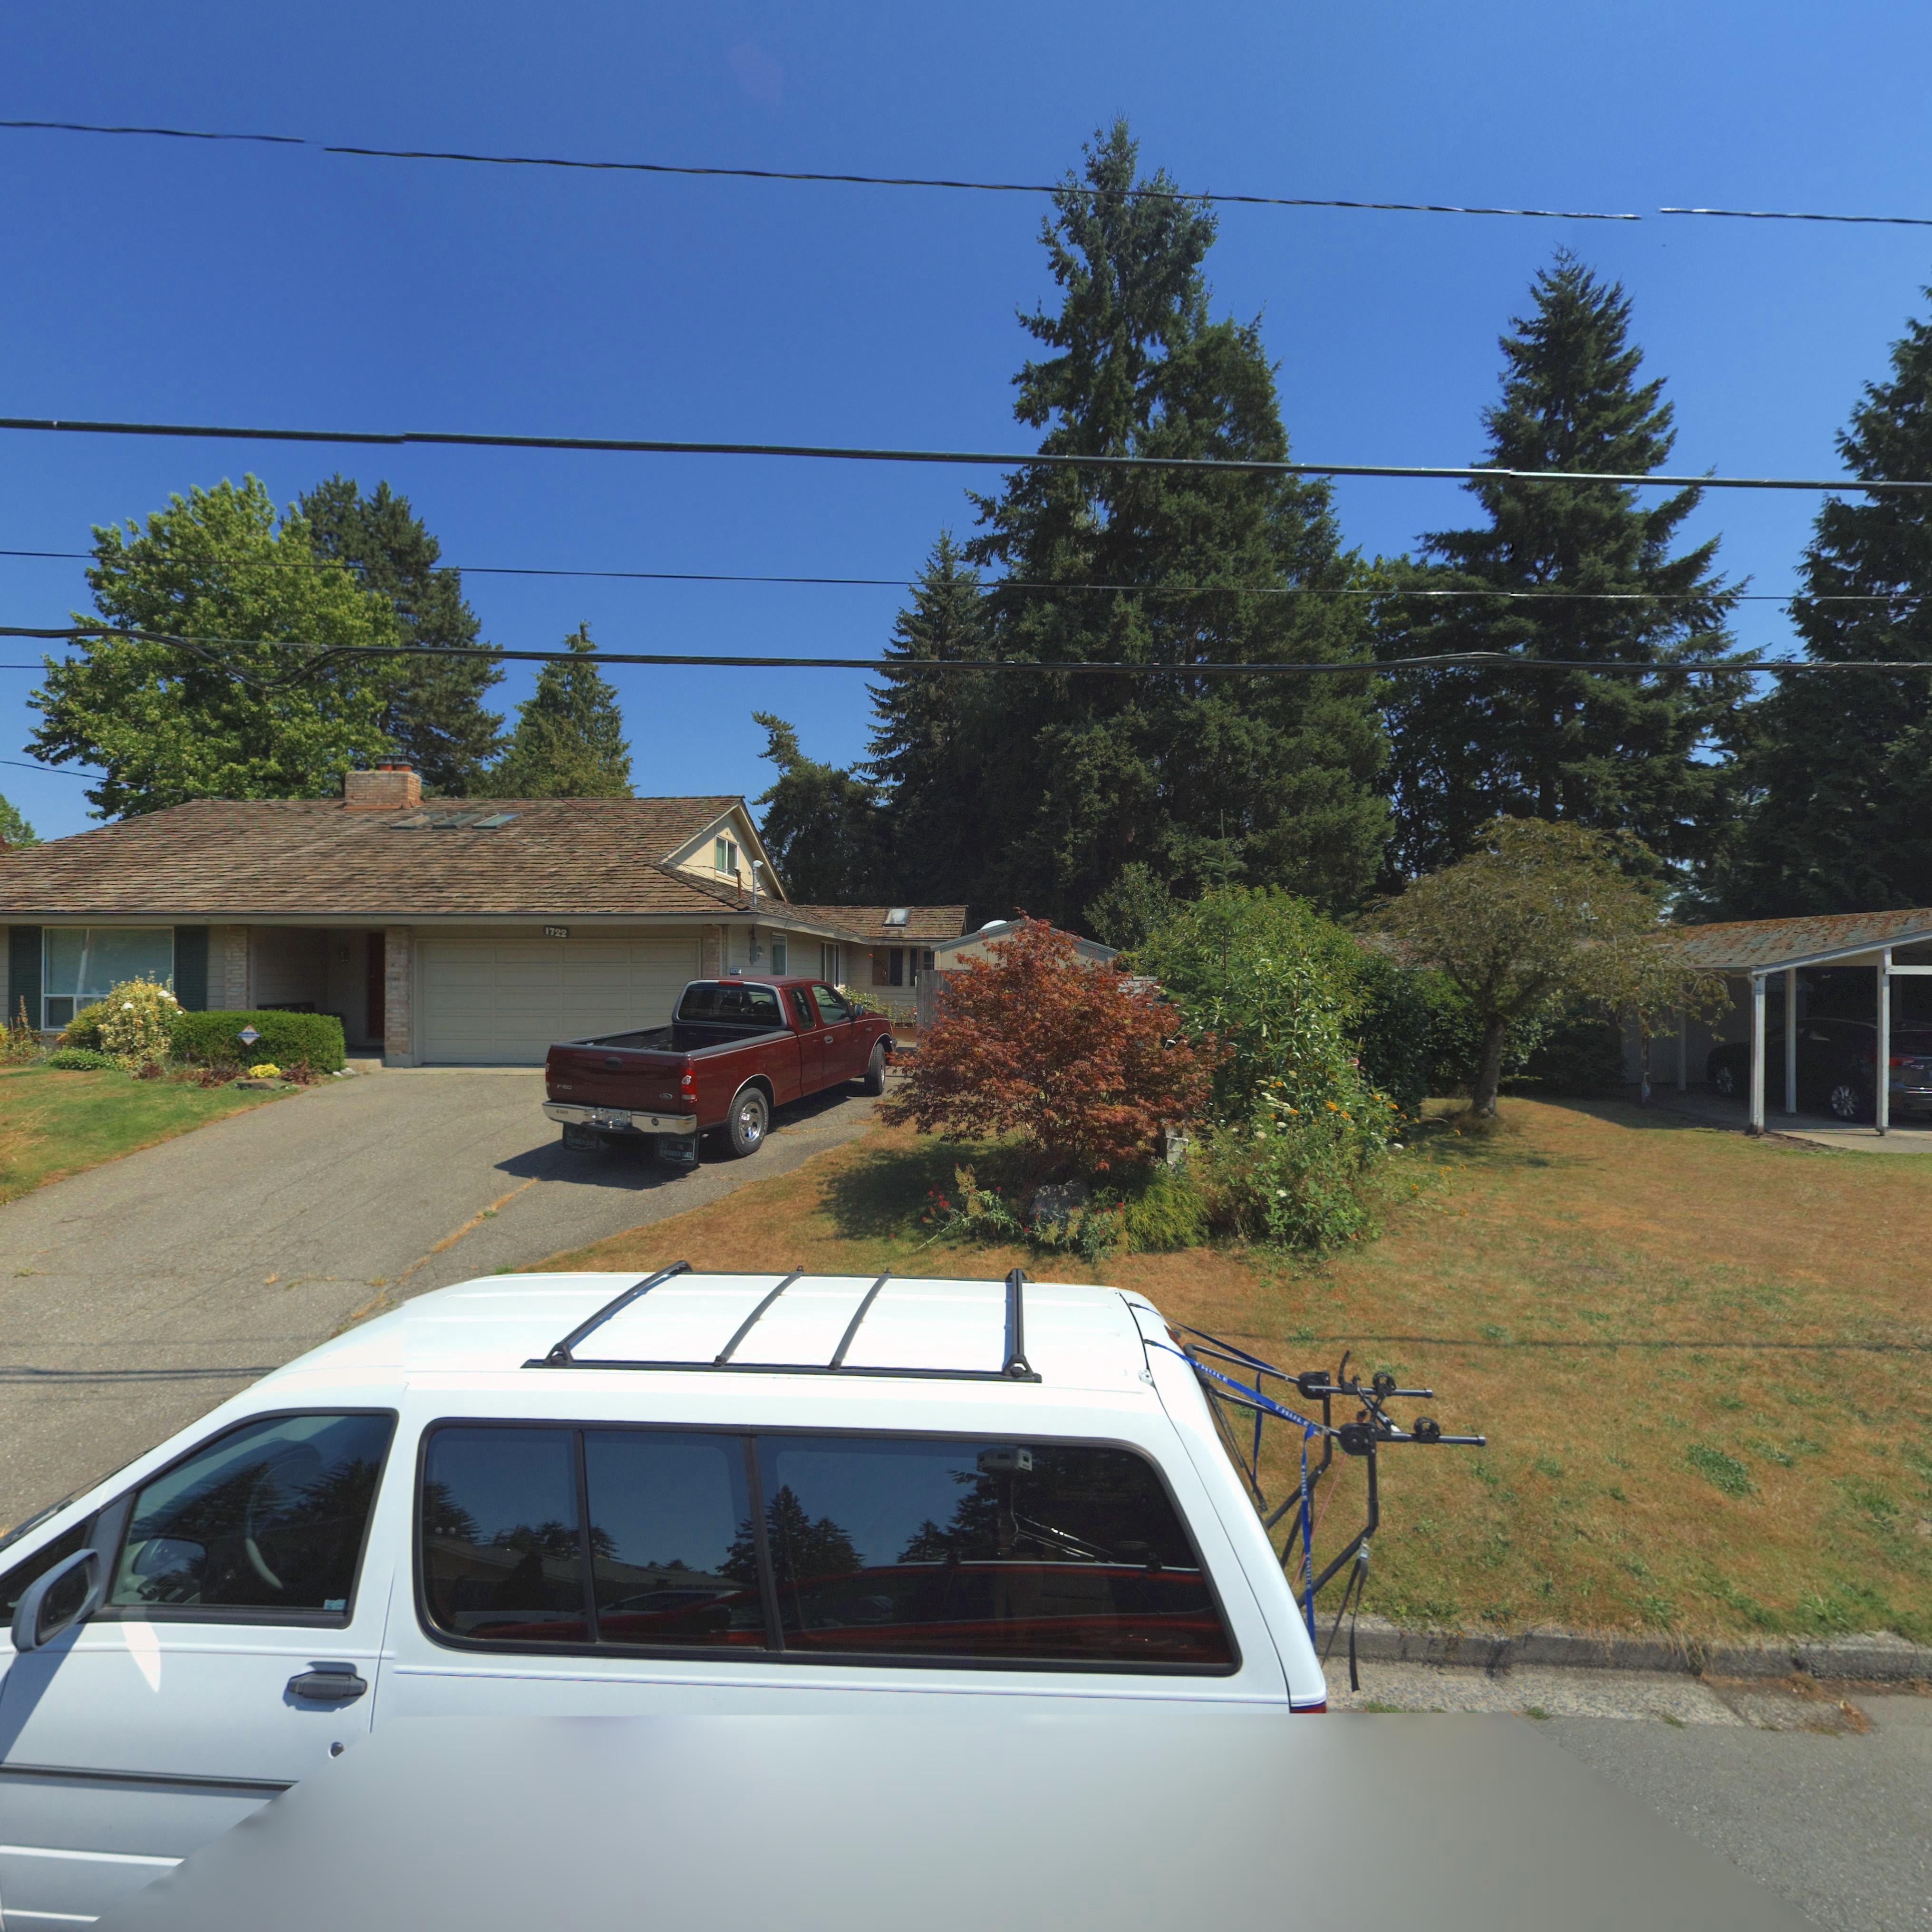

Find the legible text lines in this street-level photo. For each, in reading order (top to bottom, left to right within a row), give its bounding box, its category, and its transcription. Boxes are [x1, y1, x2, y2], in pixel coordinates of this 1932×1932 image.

[545, 926, 567, 938] StreetNumber: 1722